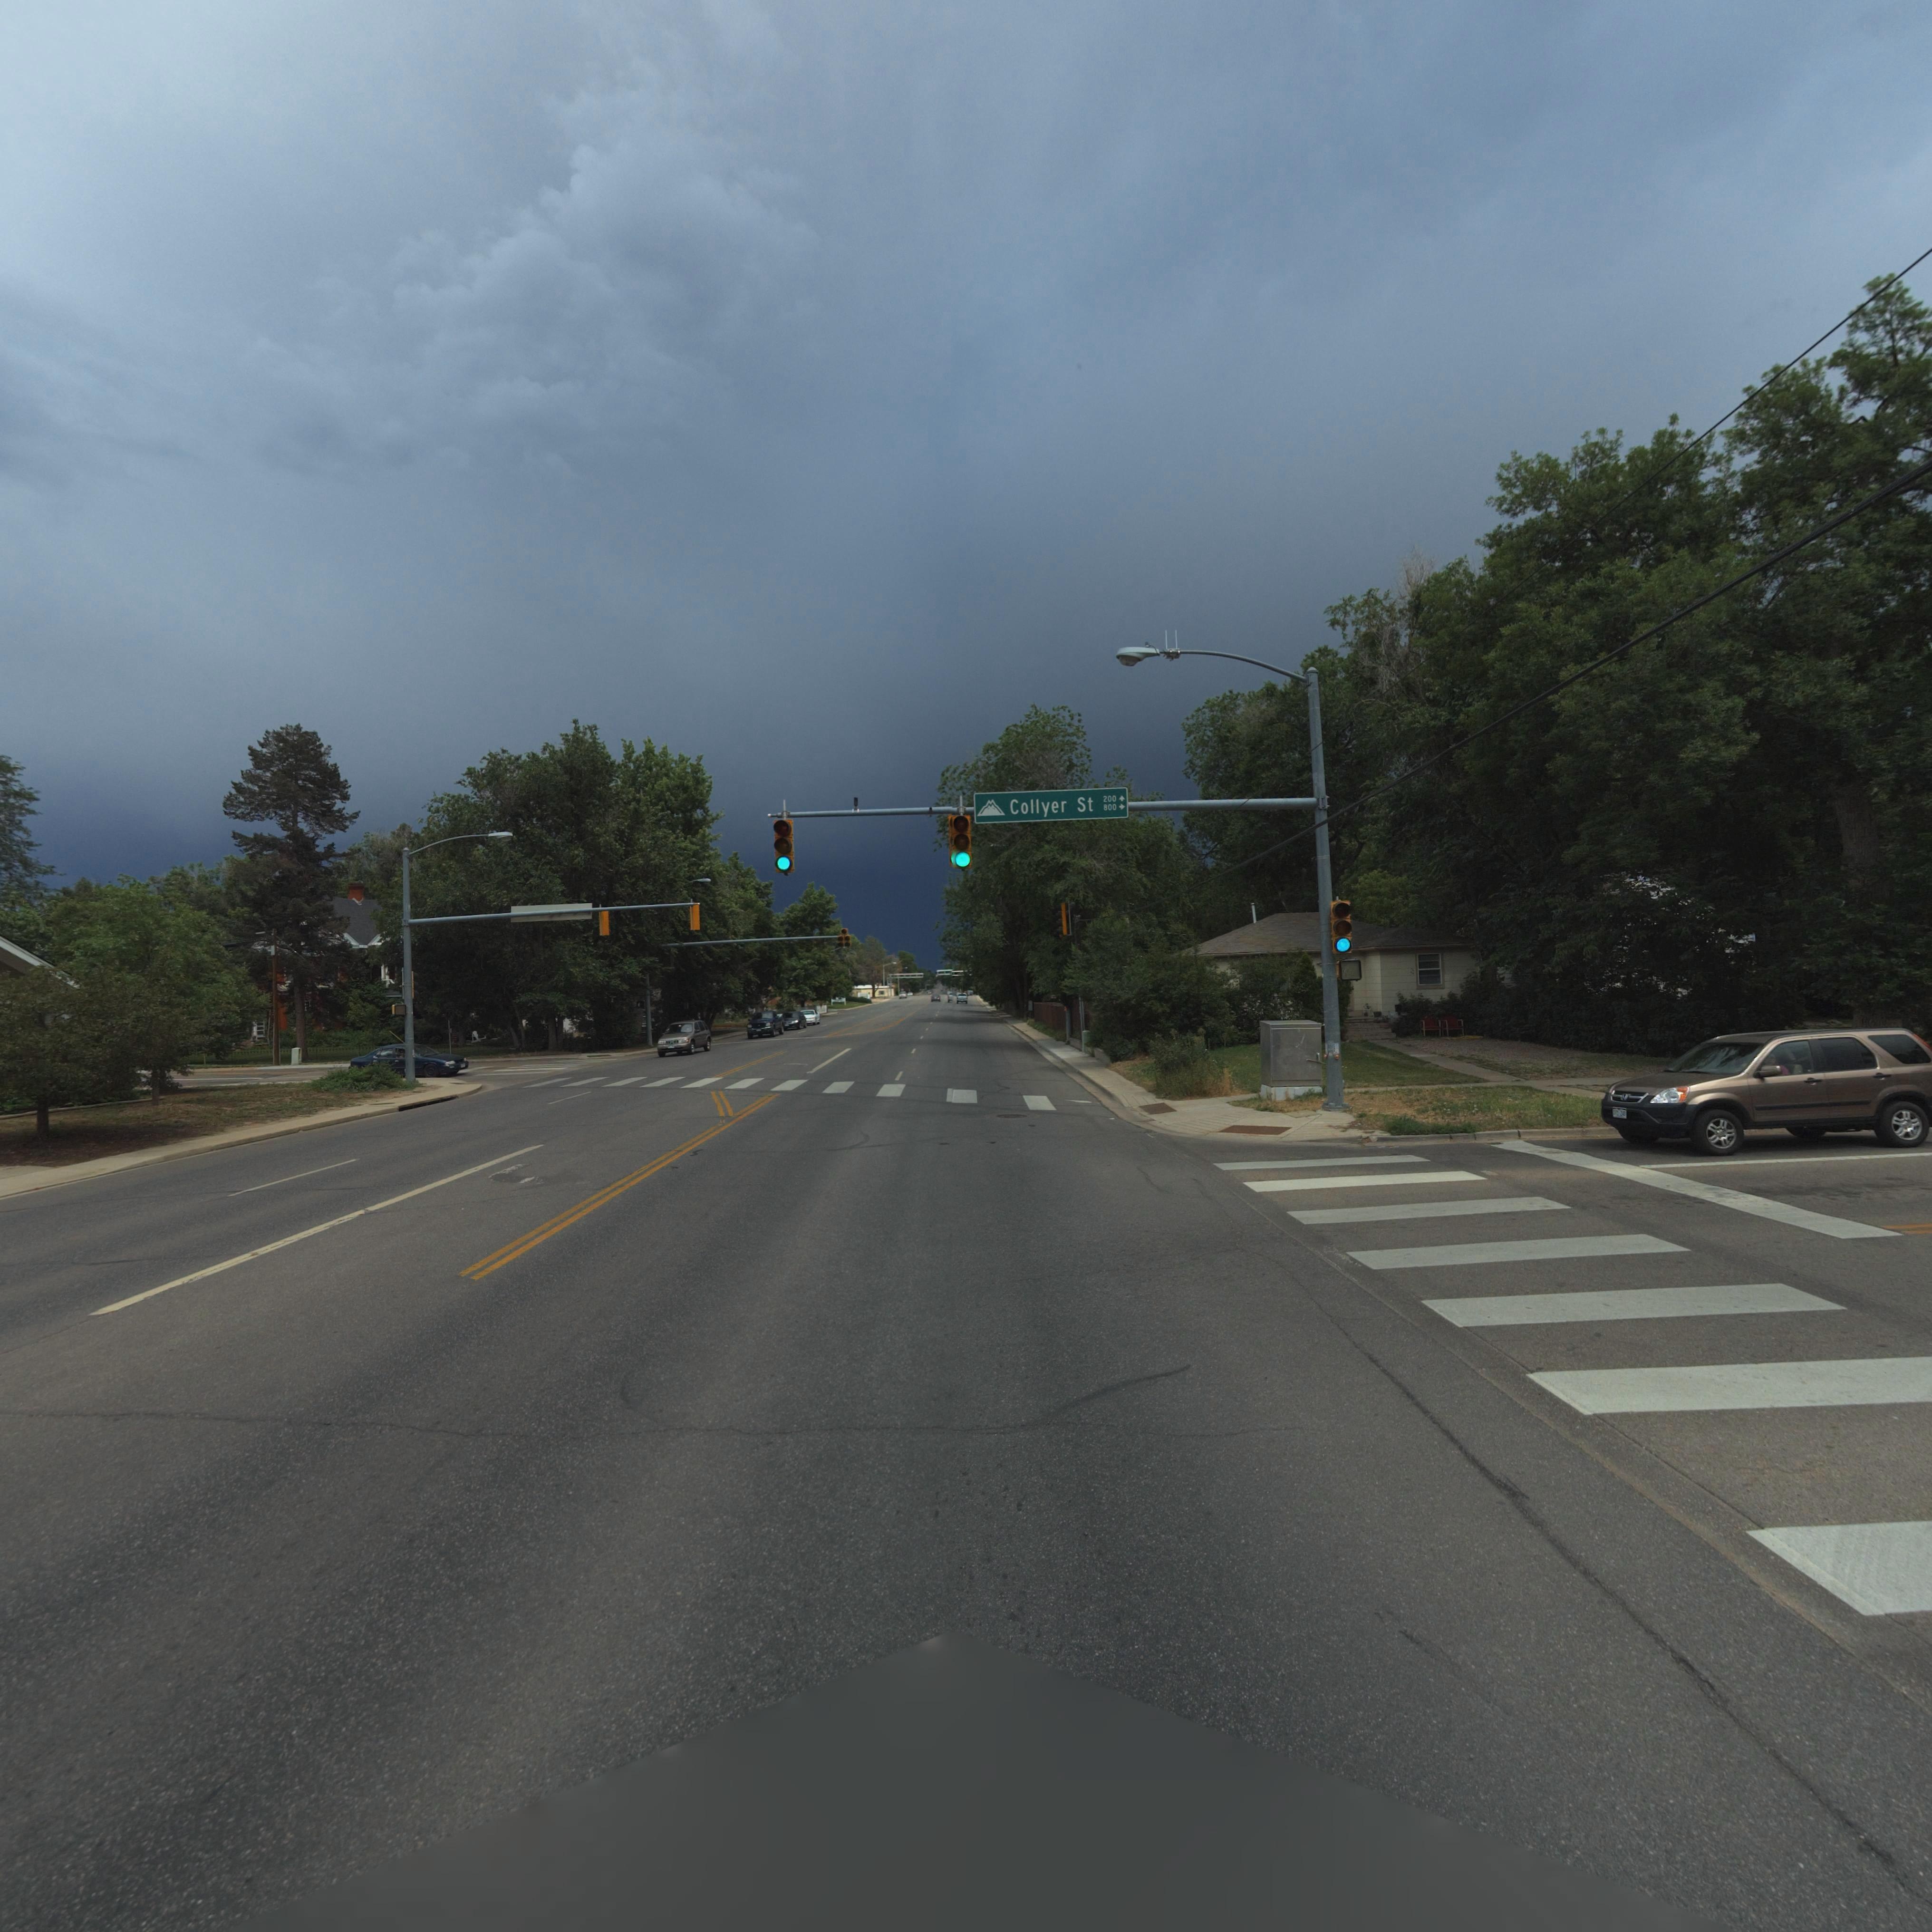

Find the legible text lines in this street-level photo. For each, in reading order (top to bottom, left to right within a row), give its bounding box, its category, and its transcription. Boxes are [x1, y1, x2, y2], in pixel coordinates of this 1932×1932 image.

[1102, 794, 1116, 802] StreetNumberRange: 200
[1010, 796, 1094, 818] StreetName: Collyer St
[1103, 803, 1126, 811] StreetNumberRange: 800->